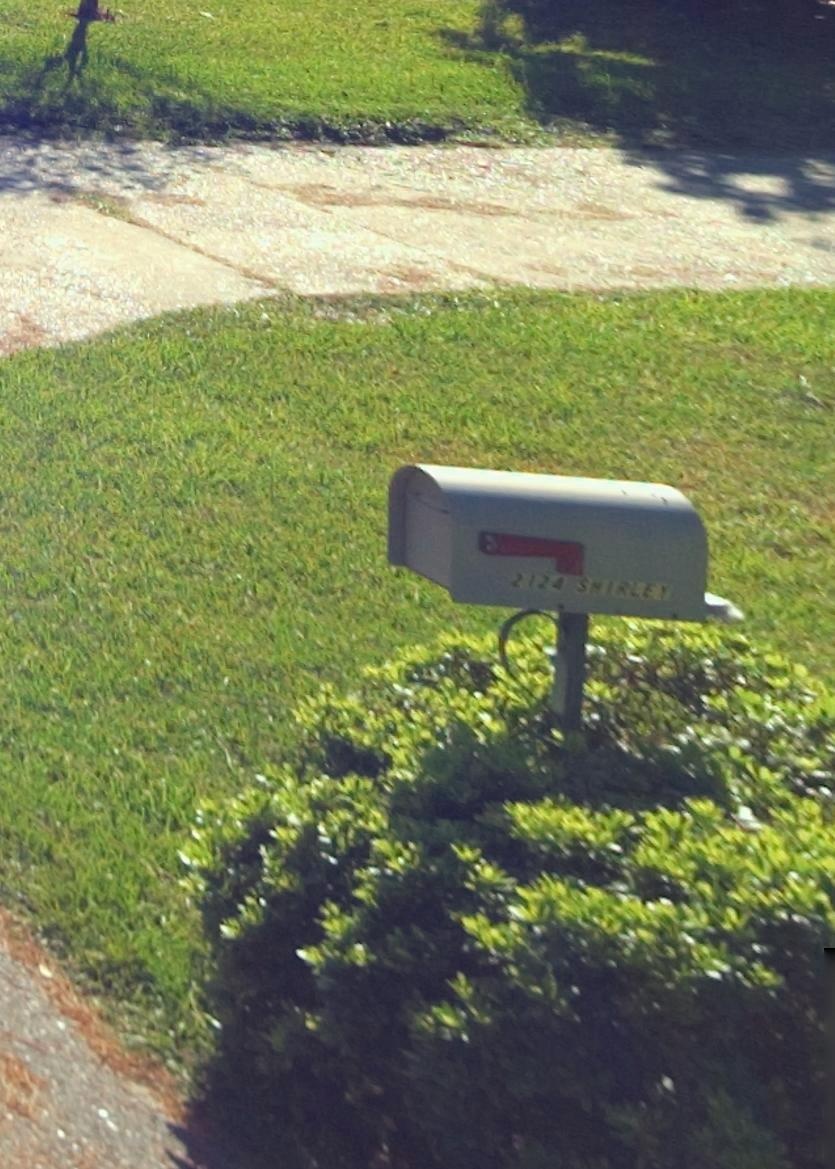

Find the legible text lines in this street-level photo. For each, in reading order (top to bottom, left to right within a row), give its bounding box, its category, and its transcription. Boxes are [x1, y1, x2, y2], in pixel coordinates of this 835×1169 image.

[508, 571, 569, 593] StreetNumber: 2124
[573, 576, 675, 601] None: SHIRLEY